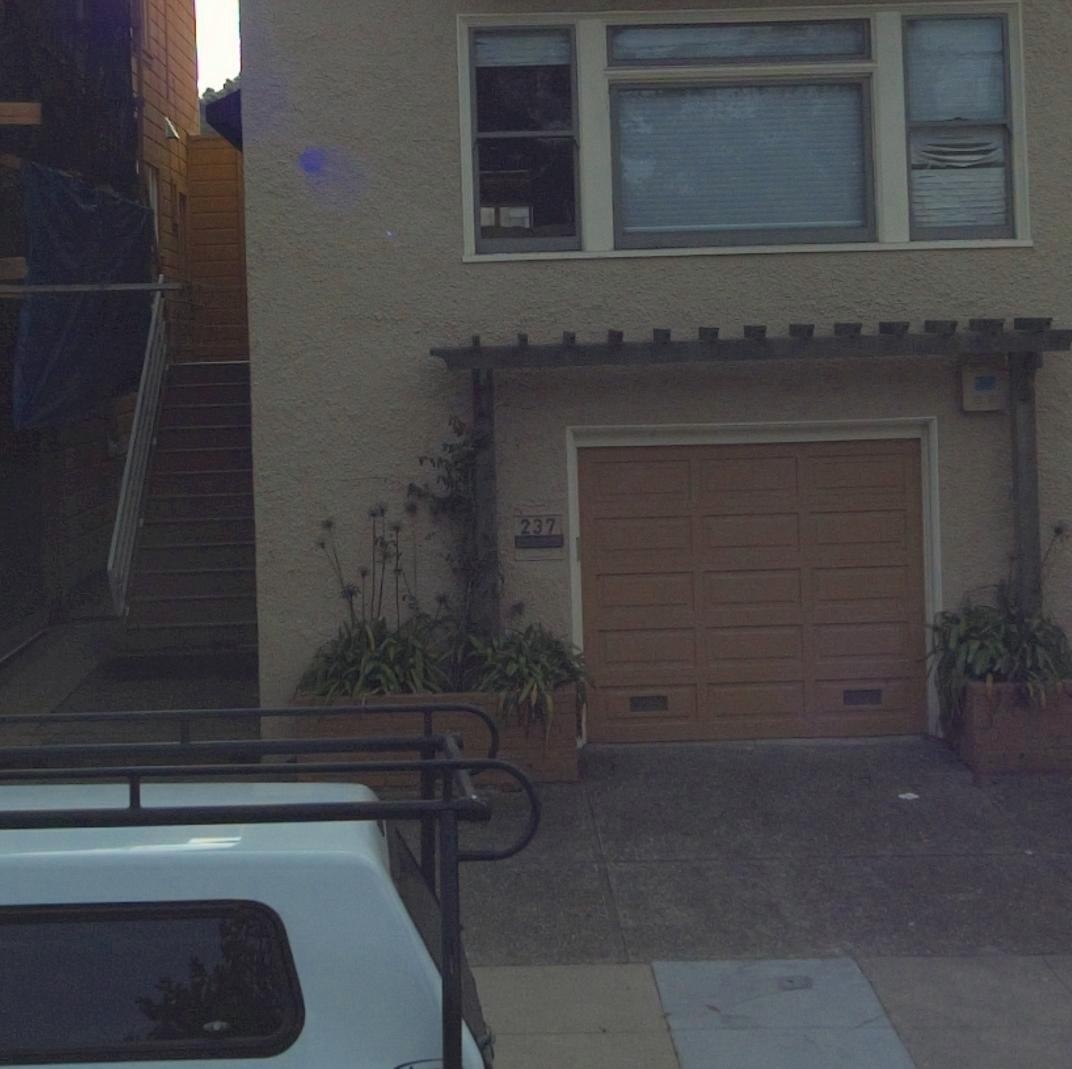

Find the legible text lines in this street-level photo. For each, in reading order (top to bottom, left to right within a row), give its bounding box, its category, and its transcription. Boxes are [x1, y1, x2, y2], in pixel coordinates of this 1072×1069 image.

[519, 517, 556, 535] StreetNumber: 237